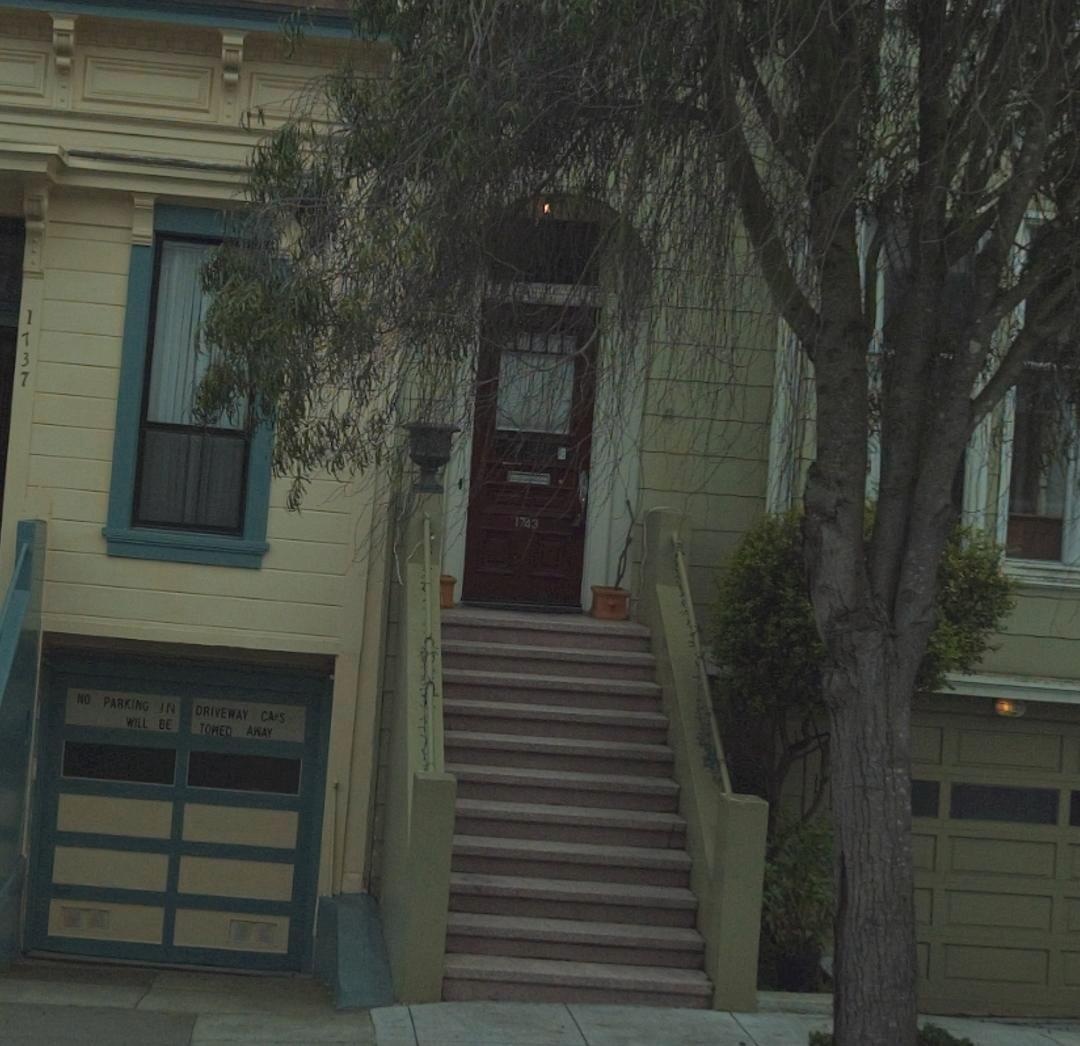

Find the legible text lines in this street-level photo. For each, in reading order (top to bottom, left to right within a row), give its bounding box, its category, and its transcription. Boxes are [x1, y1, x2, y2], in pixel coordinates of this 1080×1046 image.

[18, 308, 35, 389] StreetNumber: 1737
[513, 514, 539, 530] StreetNumber: 1743
[72, 692, 287, 725] None: NO PARKING IN DRIVEWAY CA*S
[123, 714, 275, 740] None: WILL BE TOWED AWAY